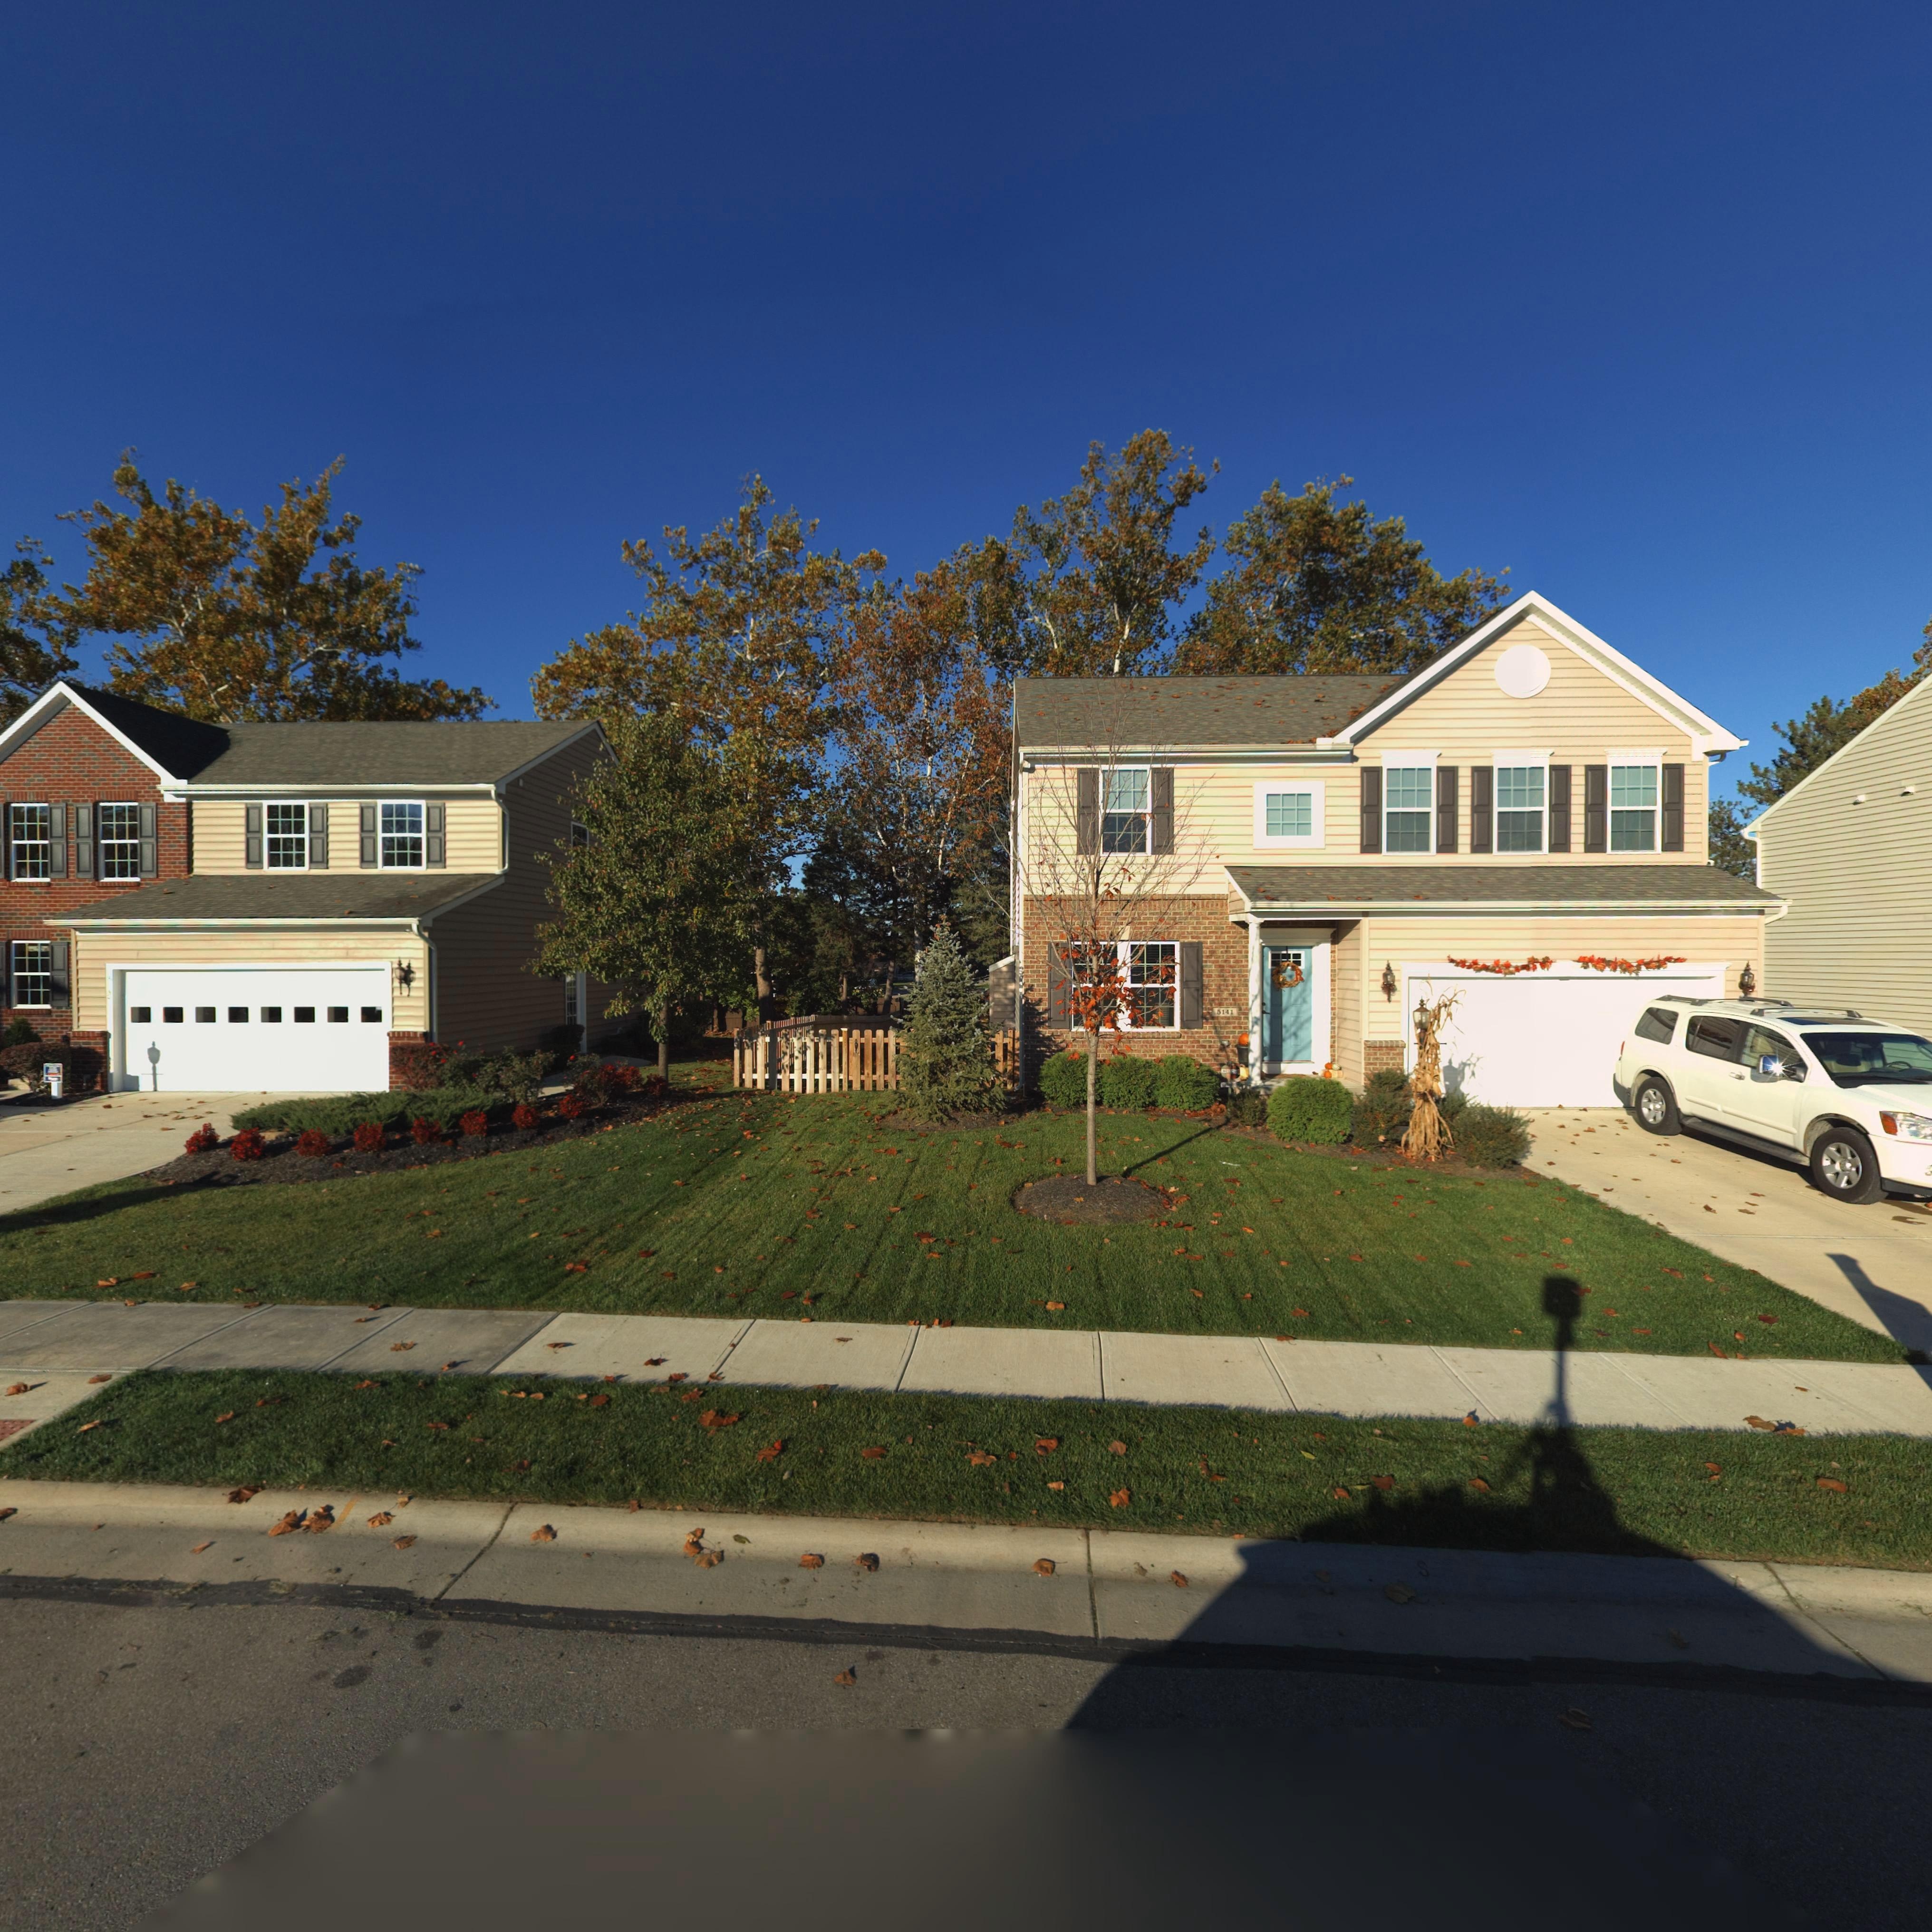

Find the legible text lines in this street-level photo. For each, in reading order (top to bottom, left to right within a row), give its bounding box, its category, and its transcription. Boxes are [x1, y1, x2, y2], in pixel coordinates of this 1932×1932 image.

[1216, 1008, 1234, 1015] StreetNumber: 5141